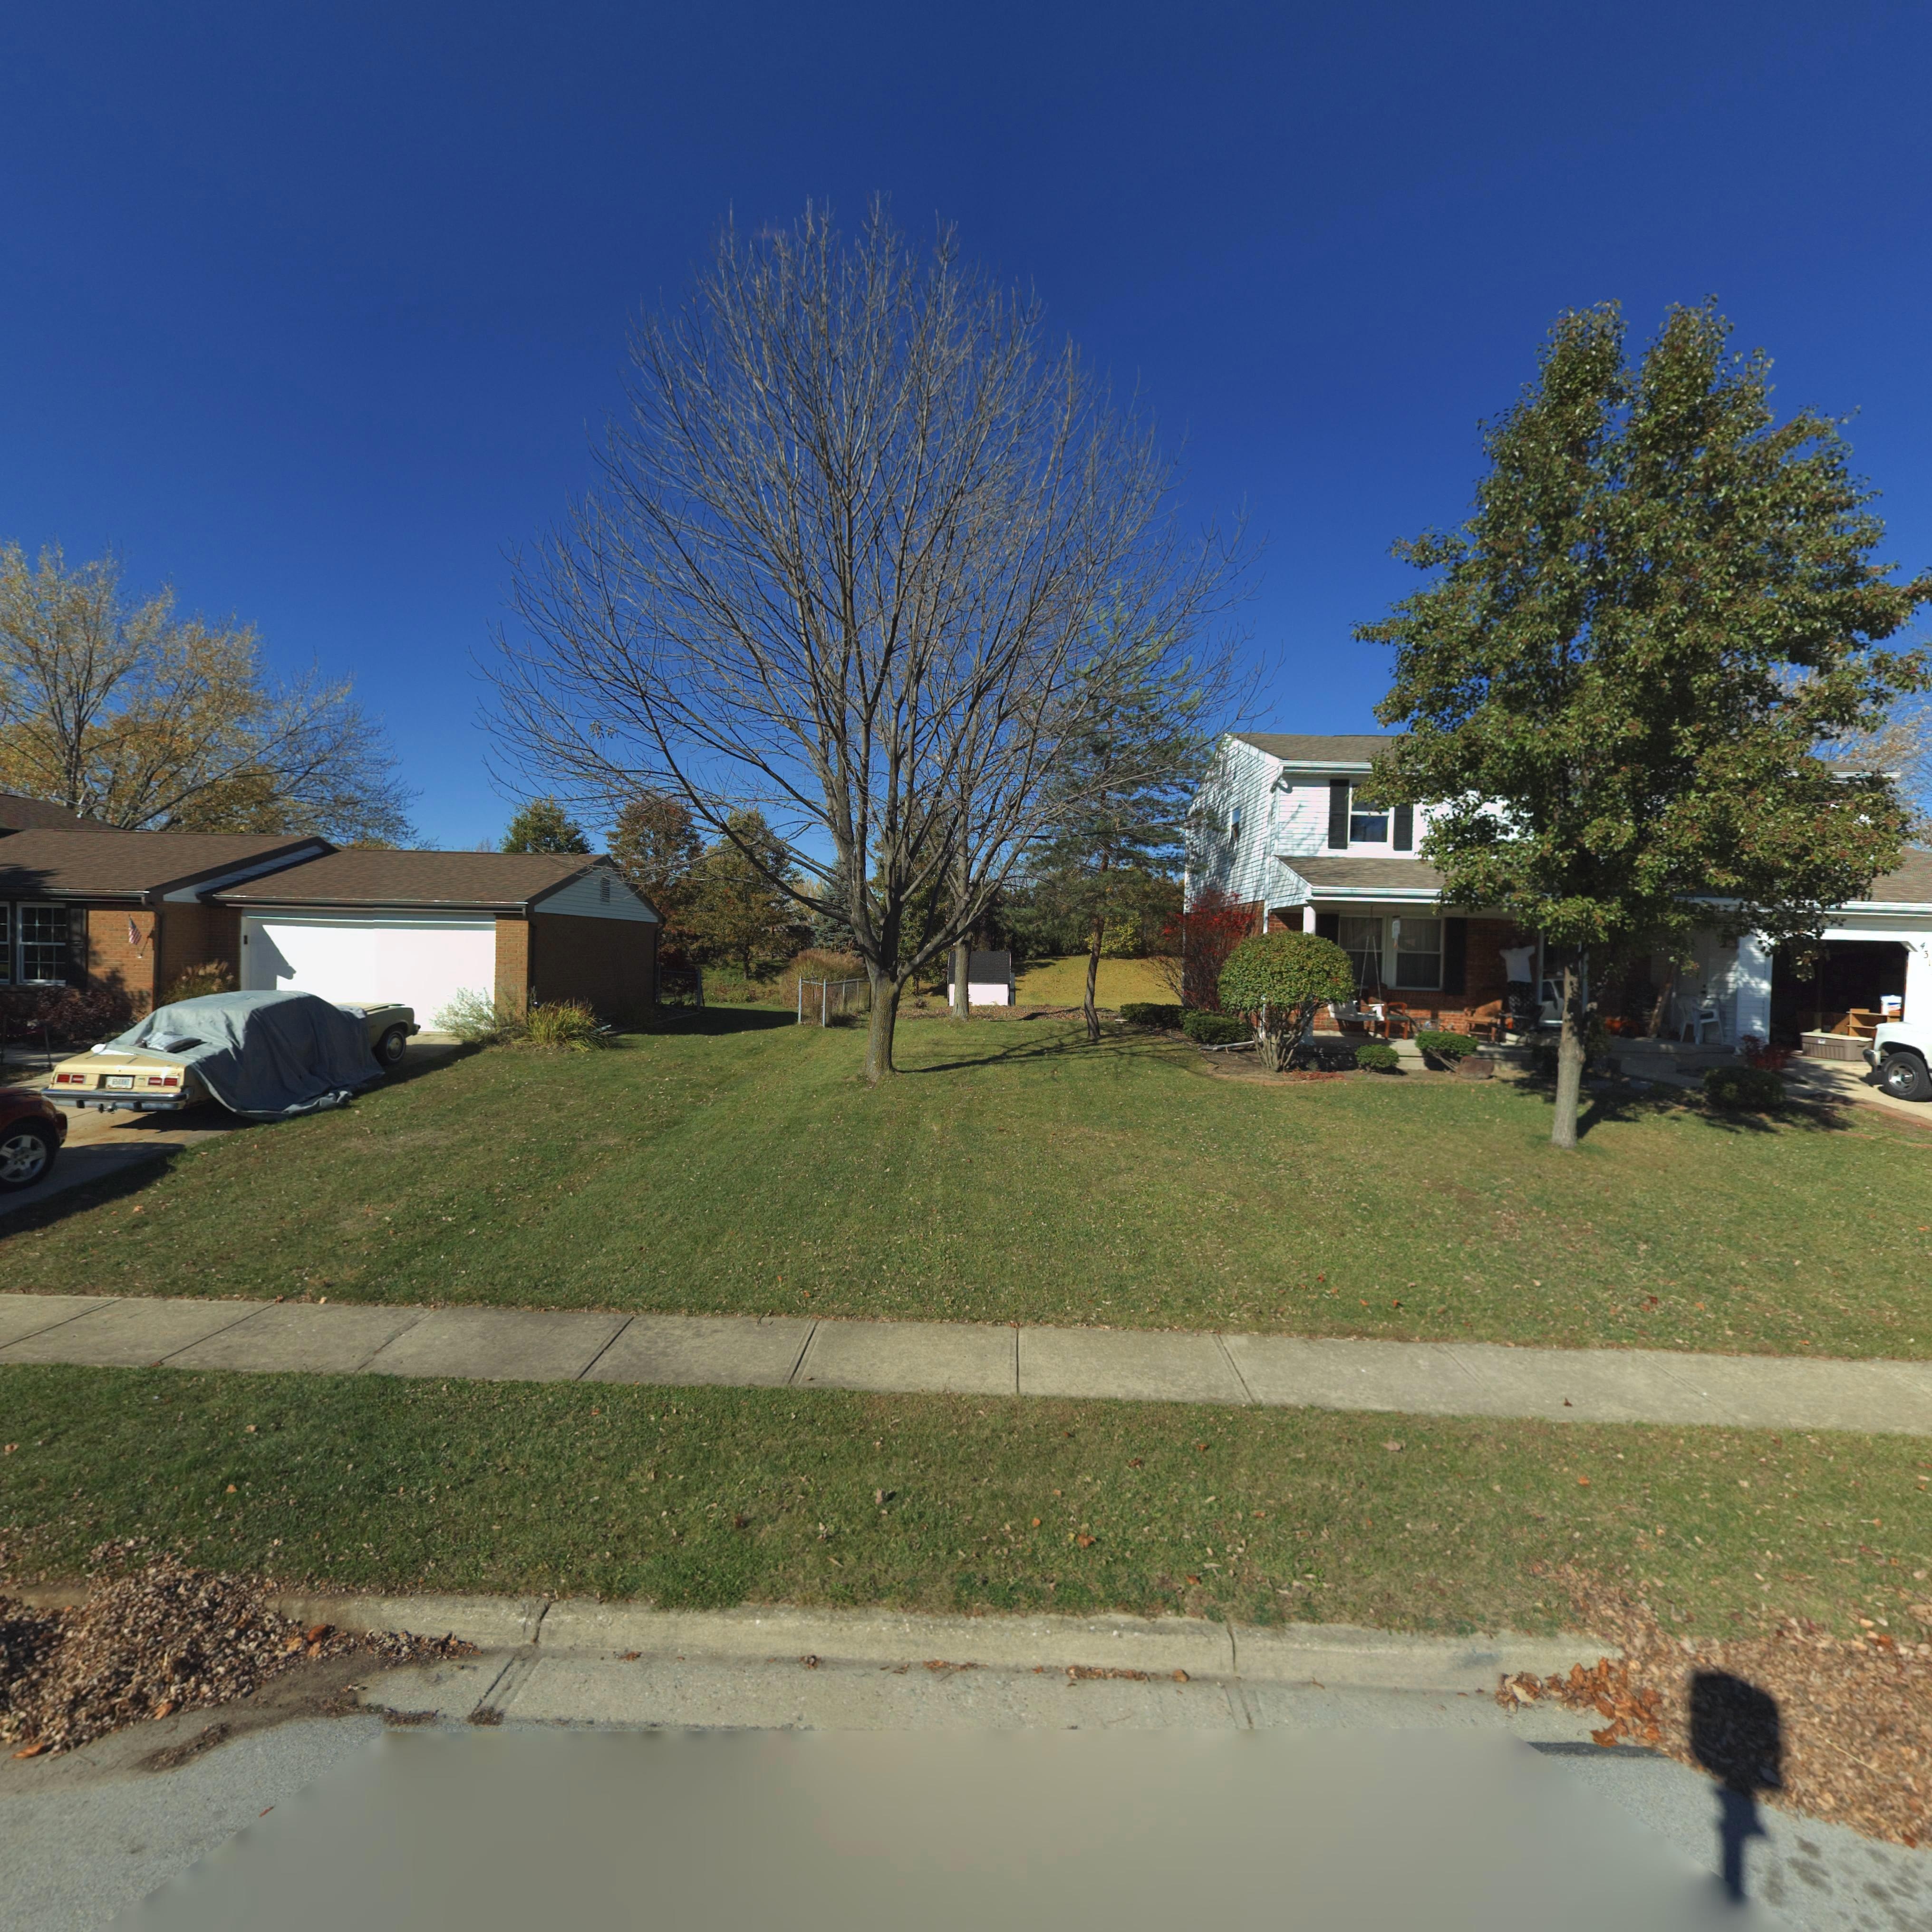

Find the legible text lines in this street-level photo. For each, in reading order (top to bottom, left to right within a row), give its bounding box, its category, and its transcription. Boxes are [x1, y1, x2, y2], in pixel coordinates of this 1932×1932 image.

[1919, 941, 1929, 959] StreetNumber: 43